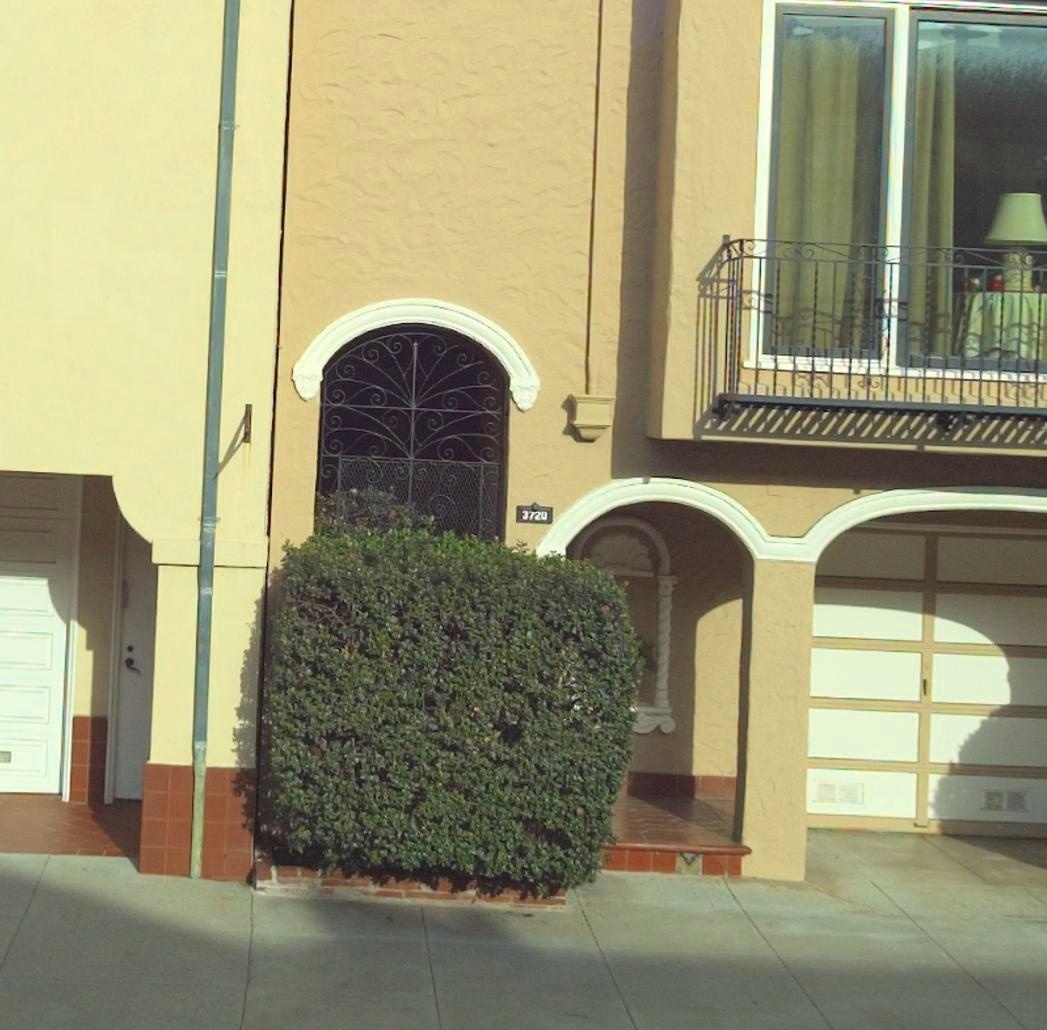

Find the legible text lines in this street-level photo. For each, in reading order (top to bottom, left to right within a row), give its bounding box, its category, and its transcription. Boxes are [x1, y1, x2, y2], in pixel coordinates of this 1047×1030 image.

[520, 507, 550, 523] StreetNumber: 3720